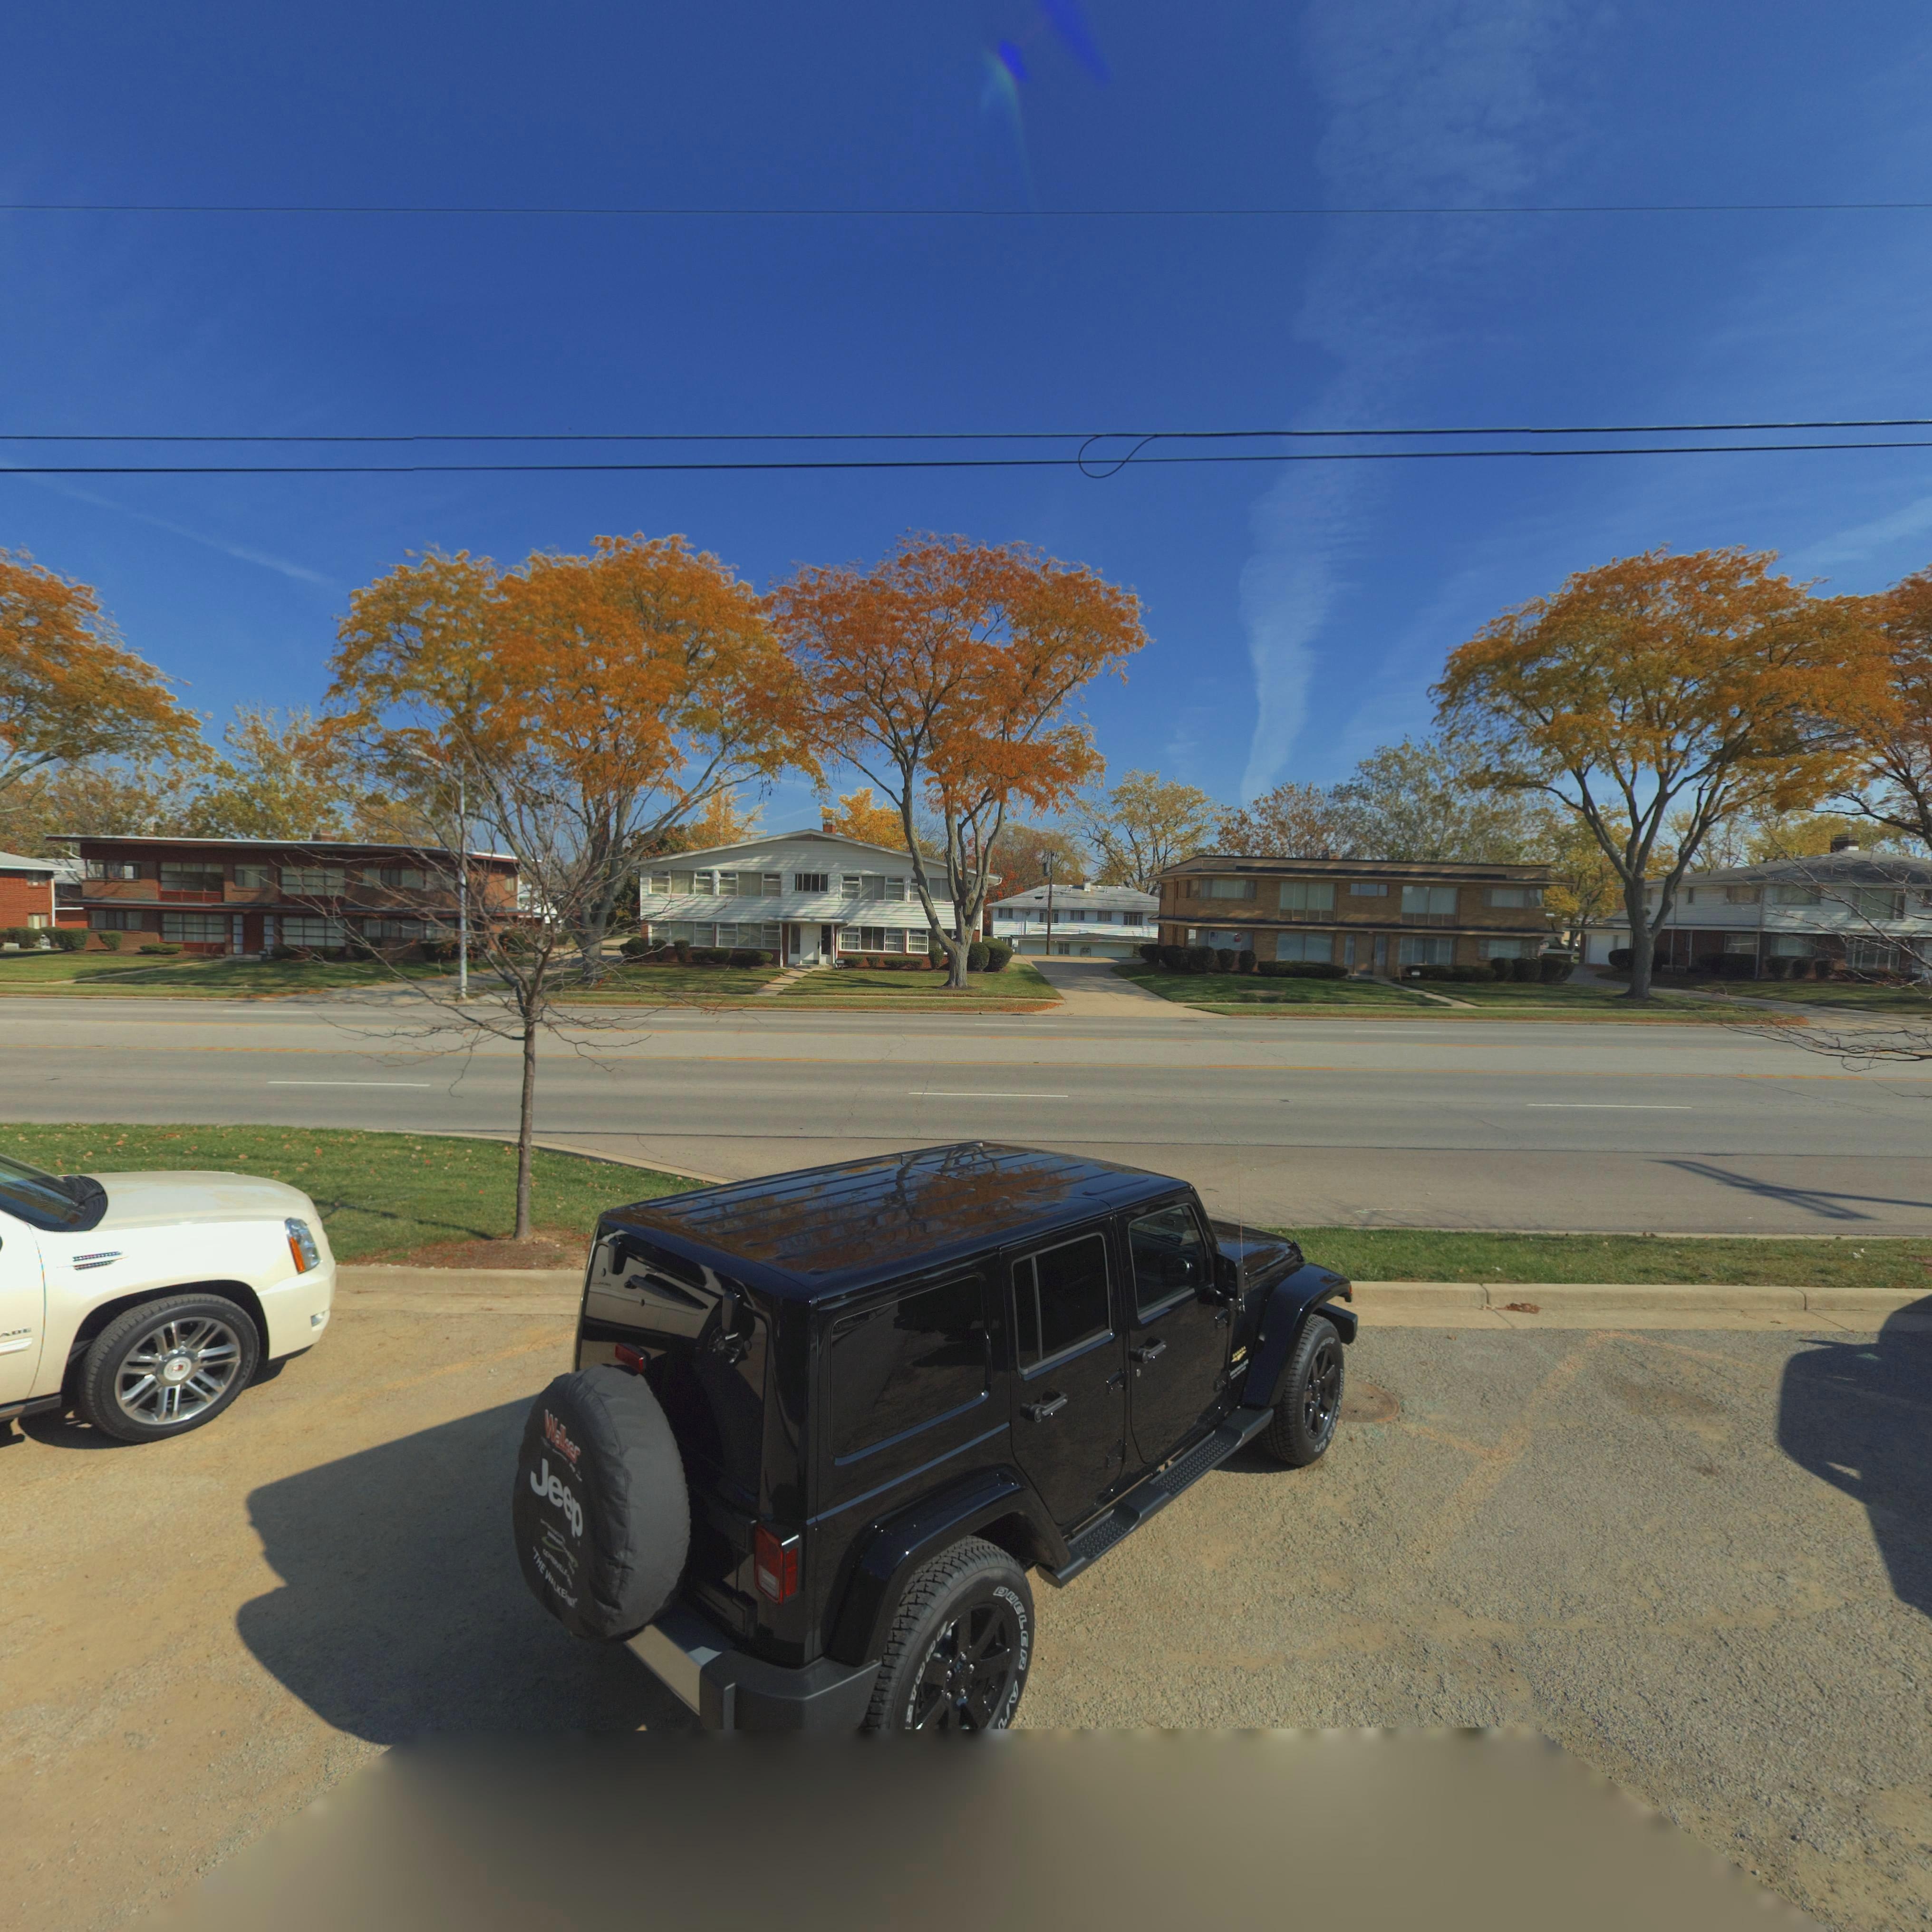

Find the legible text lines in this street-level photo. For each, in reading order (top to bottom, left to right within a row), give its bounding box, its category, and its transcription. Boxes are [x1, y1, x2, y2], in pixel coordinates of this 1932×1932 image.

[0, 1325, 33, 1338] None: *D*